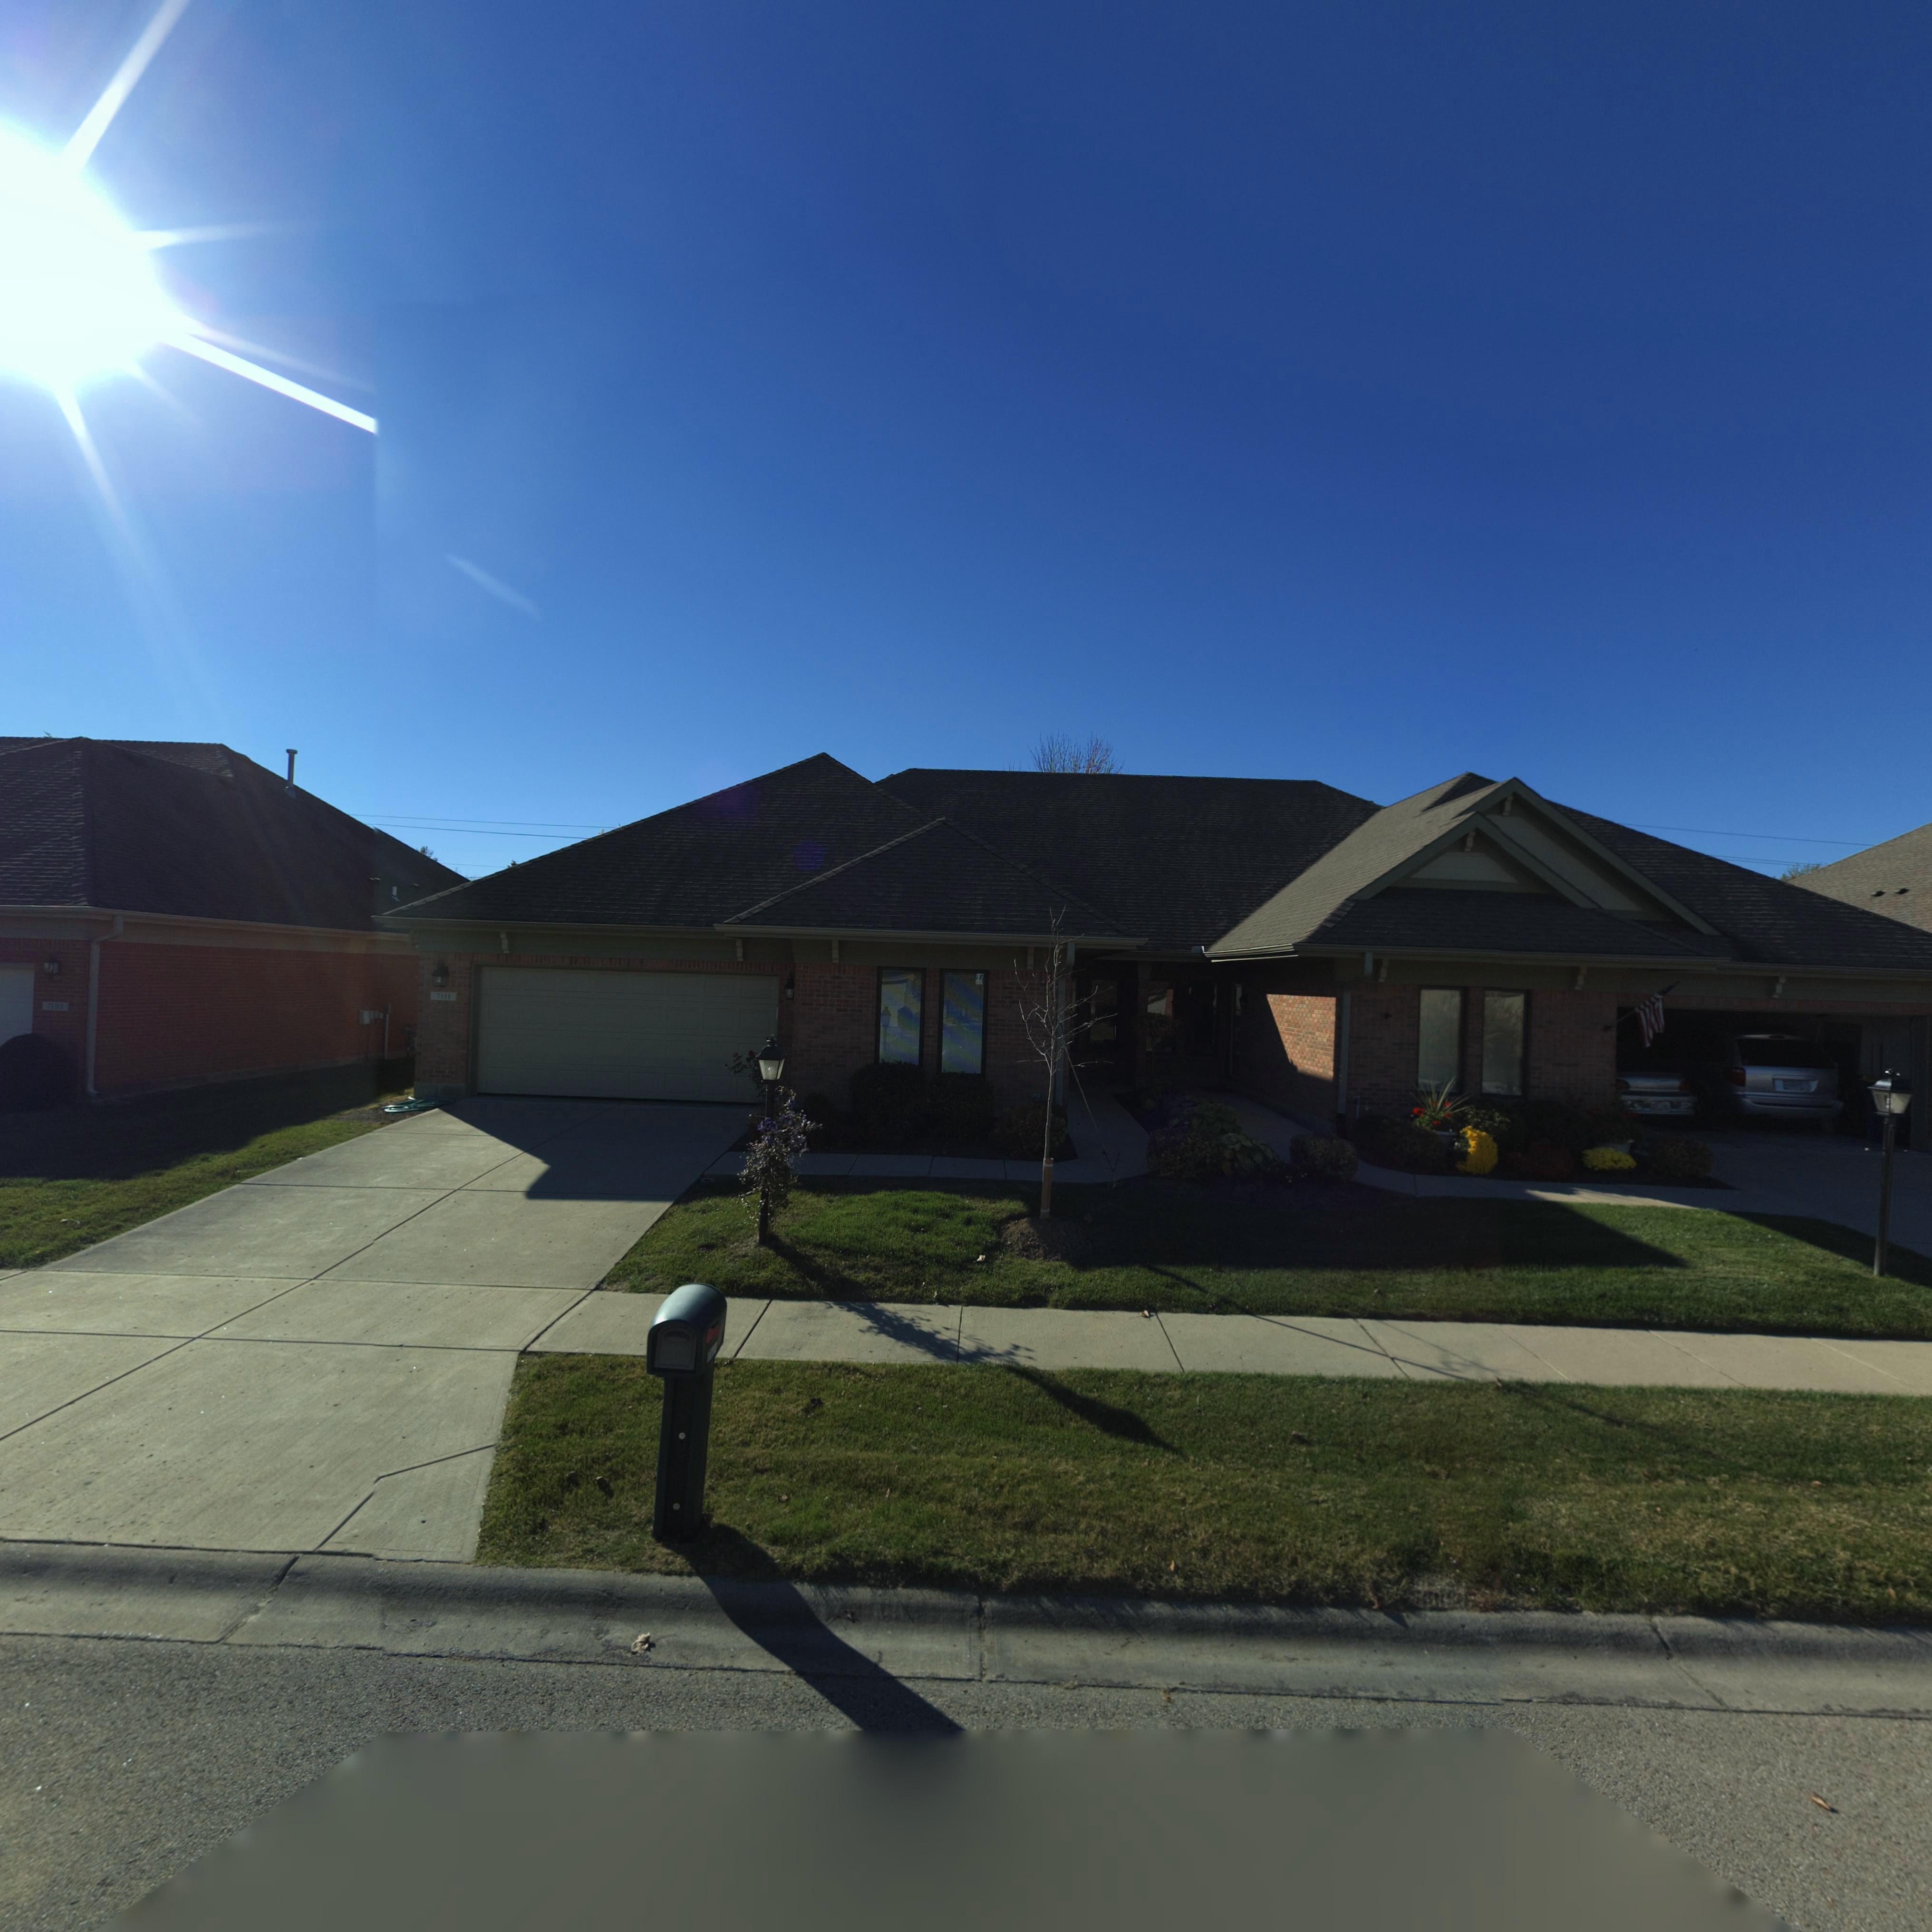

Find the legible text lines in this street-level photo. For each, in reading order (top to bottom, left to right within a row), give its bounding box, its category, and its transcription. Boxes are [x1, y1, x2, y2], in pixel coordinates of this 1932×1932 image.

[436, 992, 451, 1000] StreetNumber: 7111
[46, 1002, 64, 1010] StreetNumber: 7105